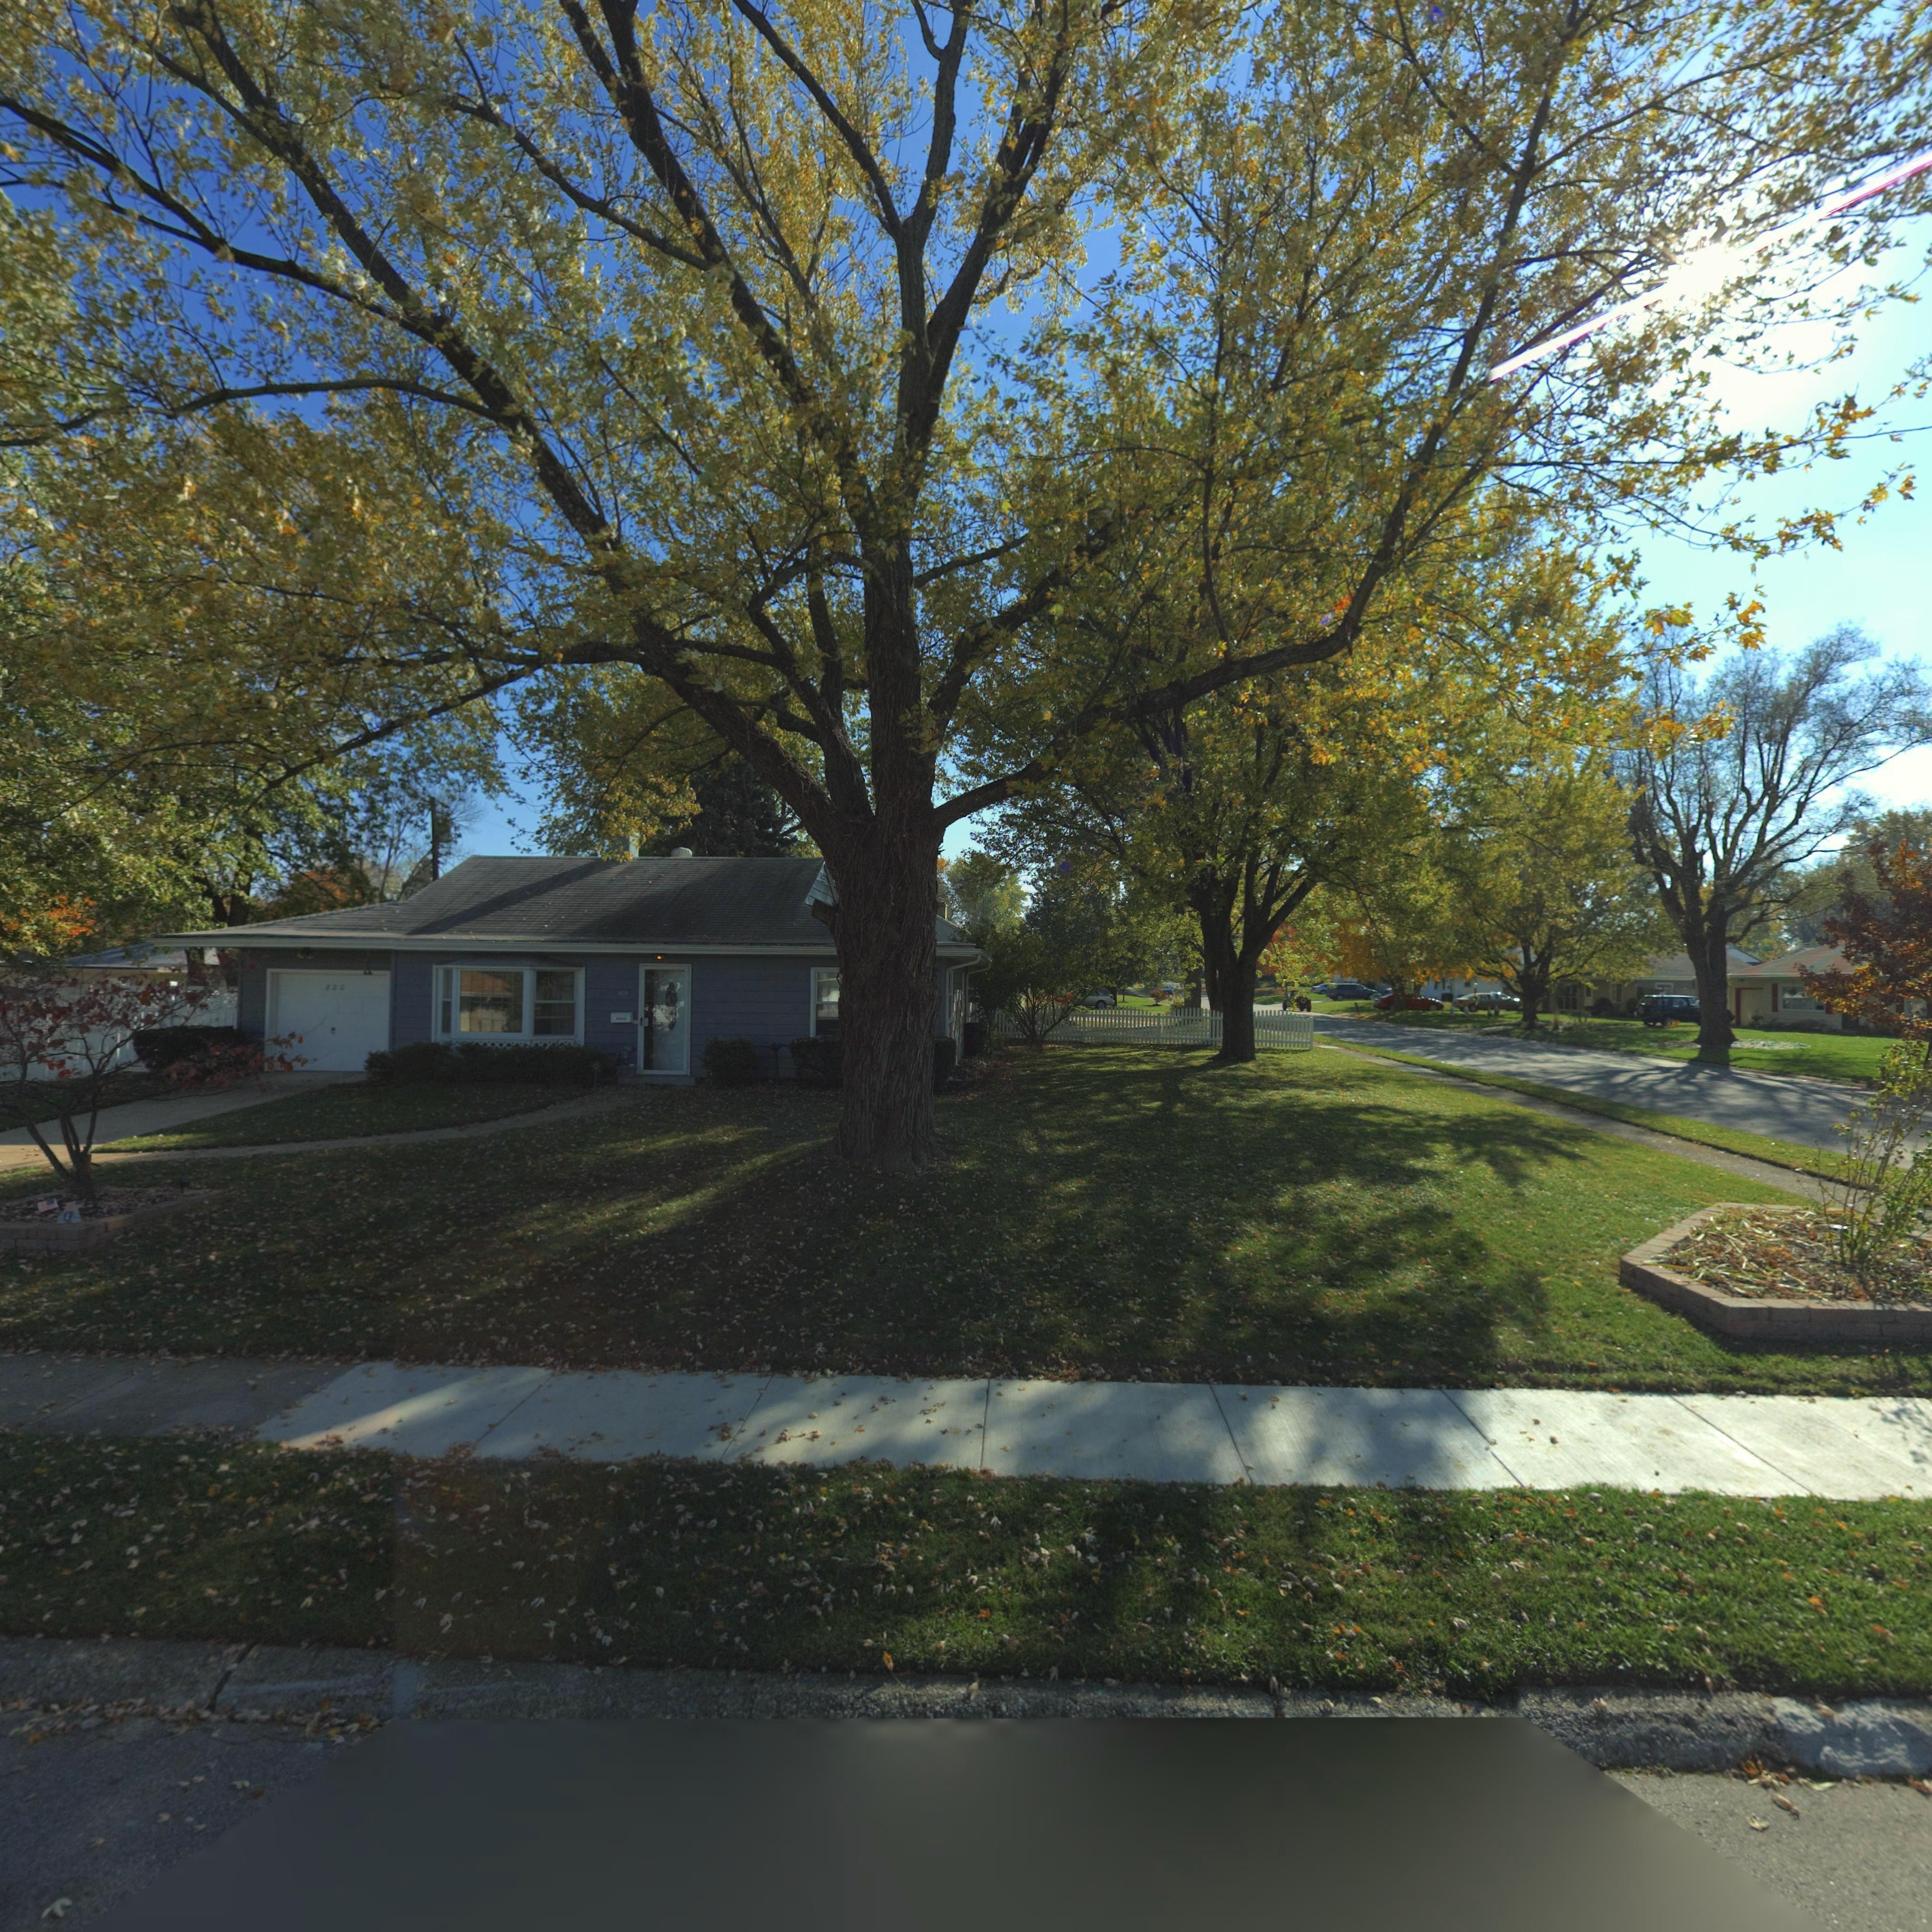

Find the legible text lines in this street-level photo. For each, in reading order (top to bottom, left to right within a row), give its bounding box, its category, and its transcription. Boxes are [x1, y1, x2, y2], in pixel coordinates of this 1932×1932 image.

[325, 984, 345, 991] StreetNumber: 620
[618, 990, 628, 996] StreetNumber: 620